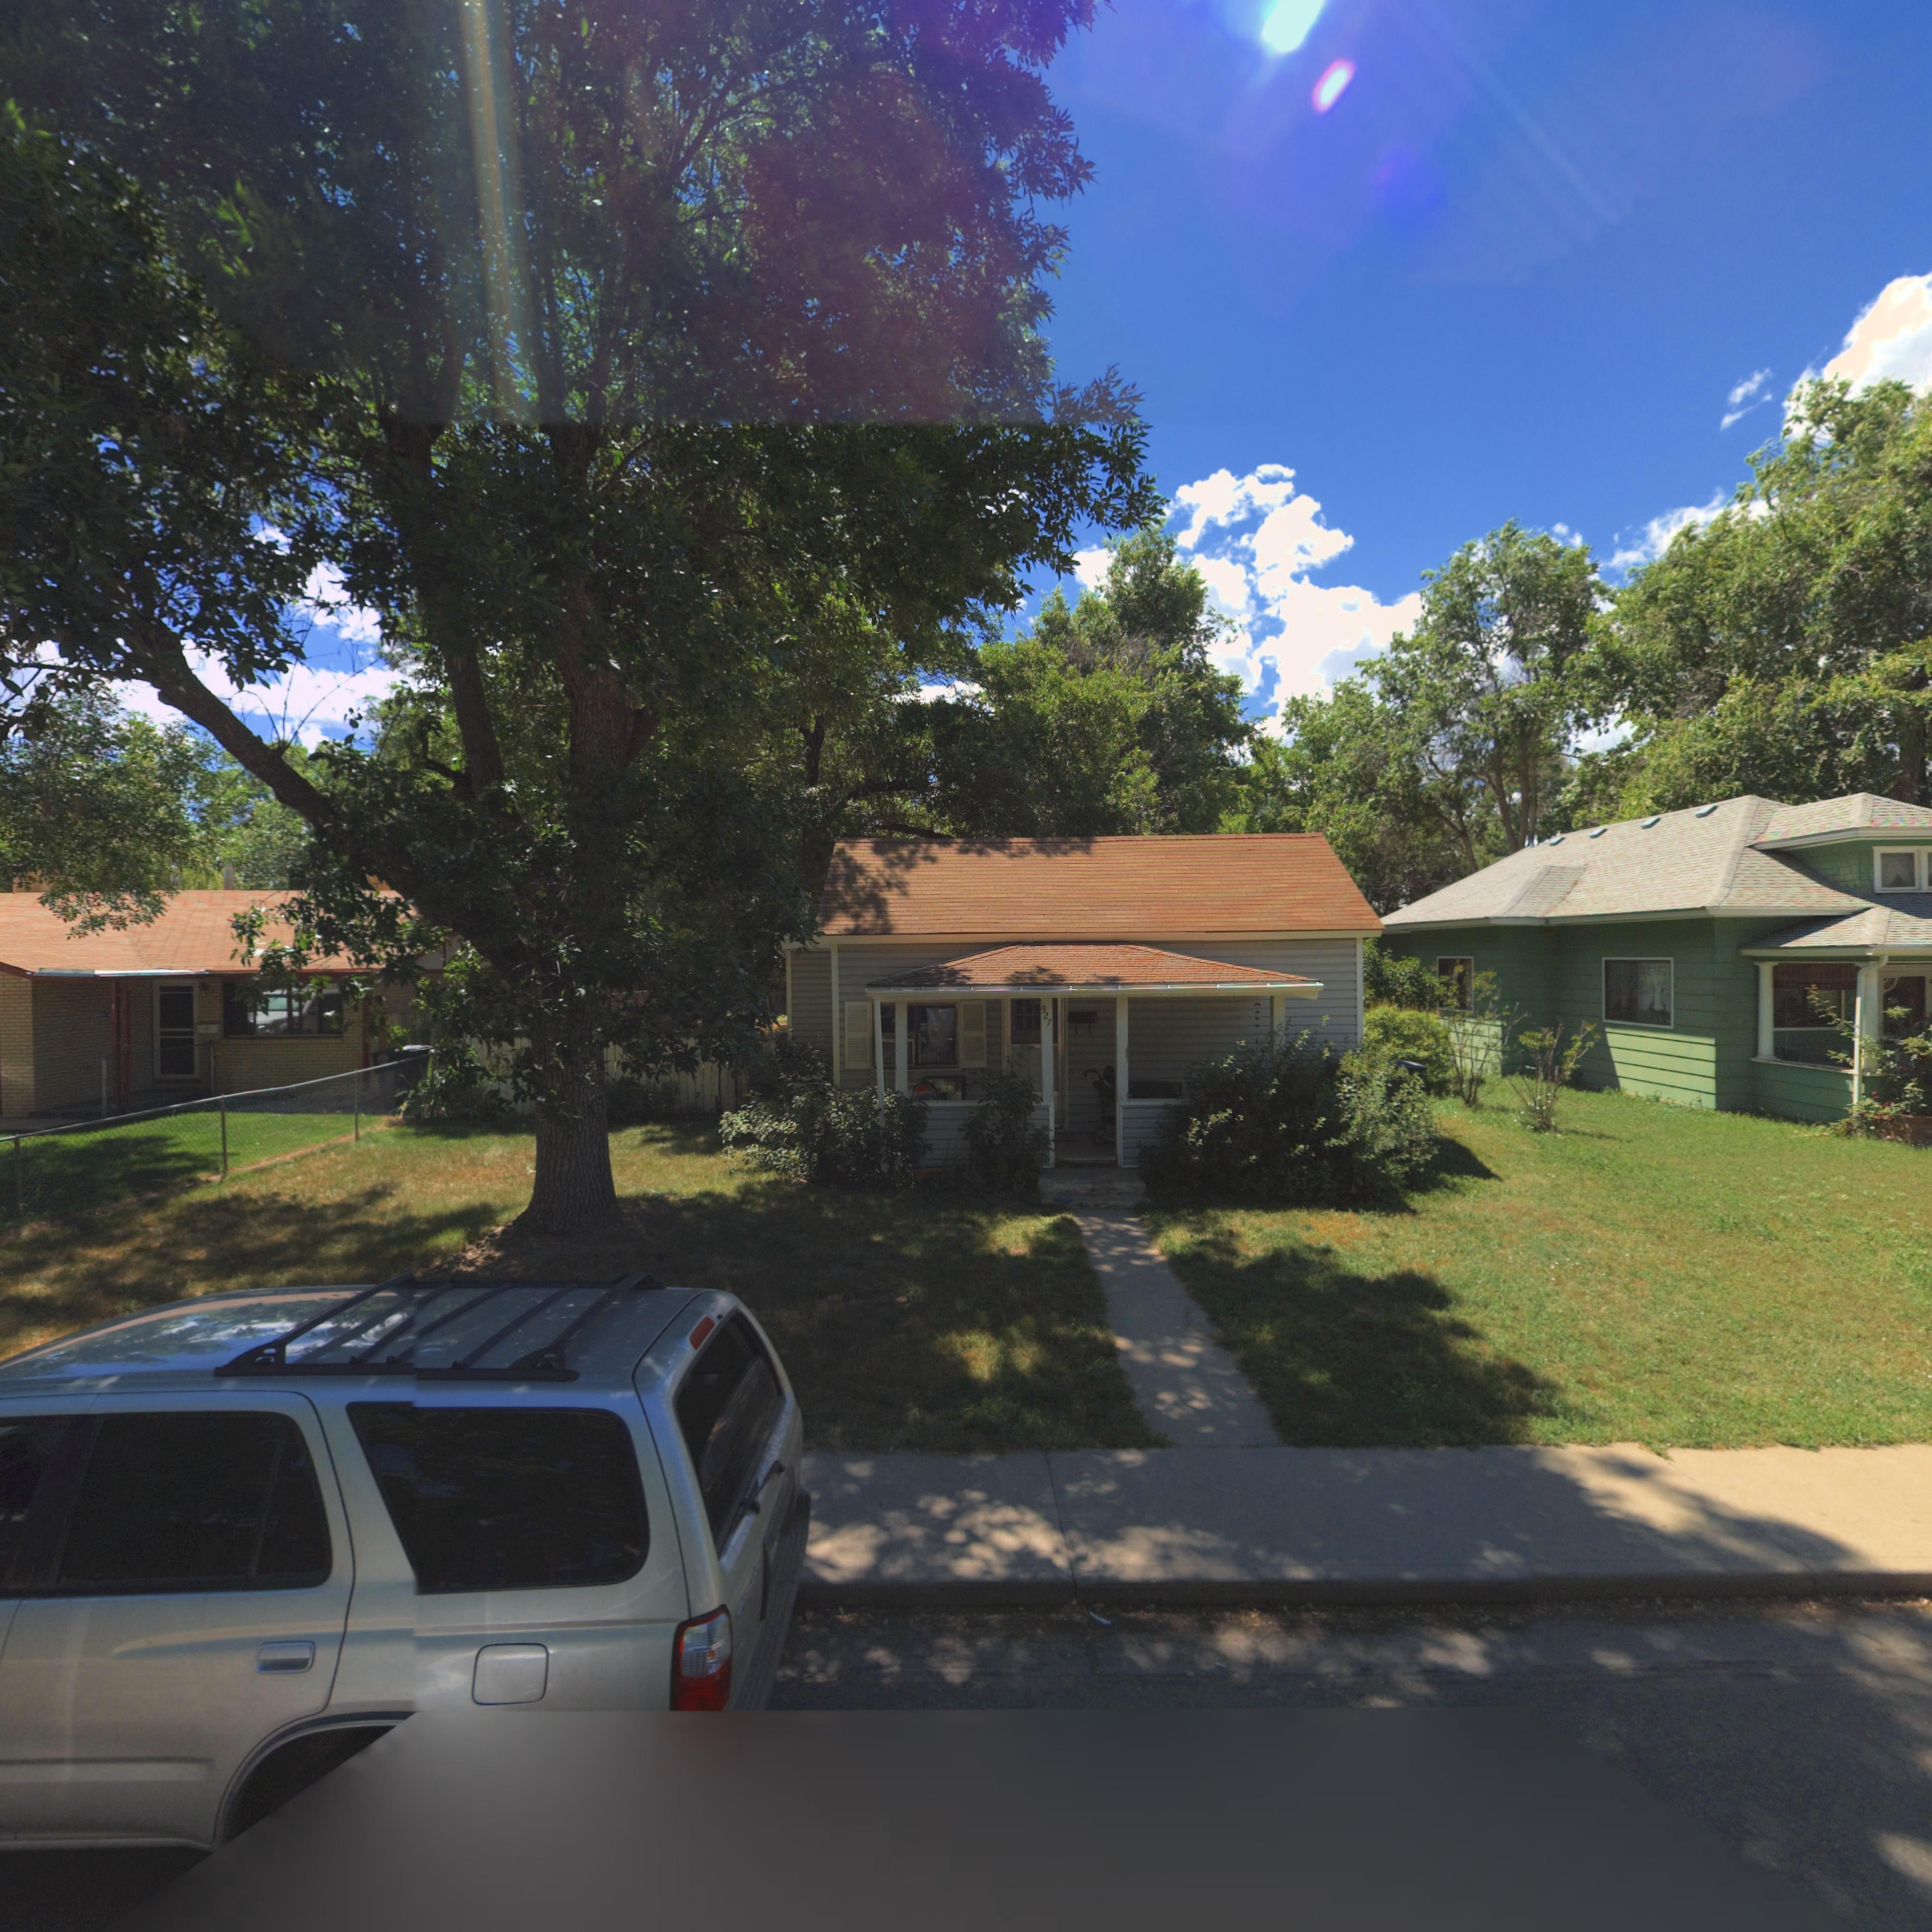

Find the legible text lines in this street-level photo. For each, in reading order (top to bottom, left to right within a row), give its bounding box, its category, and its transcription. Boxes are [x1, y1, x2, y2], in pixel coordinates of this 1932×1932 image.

[1041, 1004, 1051, 1026] StreetNumber: 927